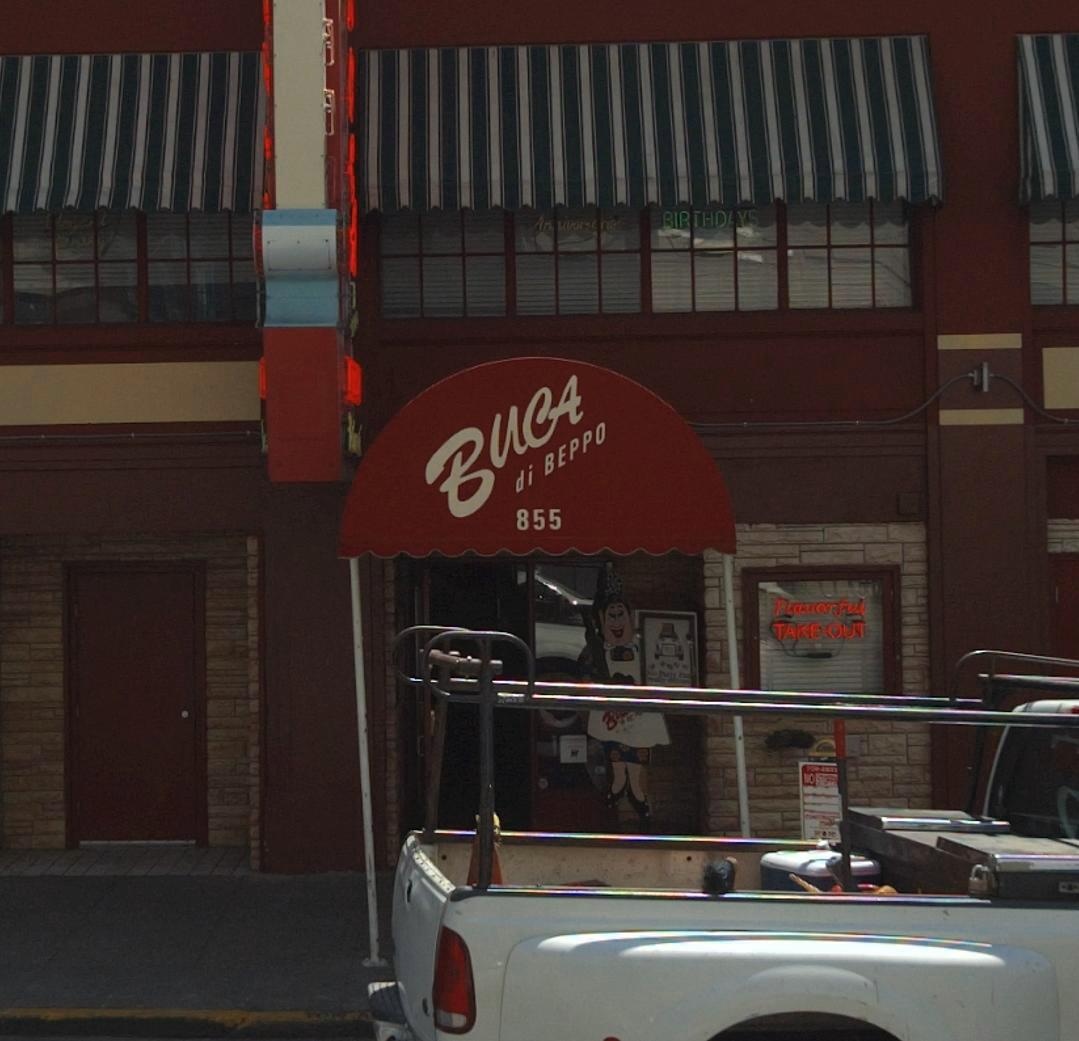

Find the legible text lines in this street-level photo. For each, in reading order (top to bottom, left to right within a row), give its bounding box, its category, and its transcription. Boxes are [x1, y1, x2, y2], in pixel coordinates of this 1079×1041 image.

[661, 209, 760, 230] None: BIR*THD*YS
[421, 370, 586, 524] BusinessName: Buca
[514, 418, 608, 495] BusinessName: di BEPPO
[516, 508, 562, 532] StreetNumber: 855
[774, 597, 867, 618] None: Flavor ful
[771, 621, 869, 640] None: TAKE OUT